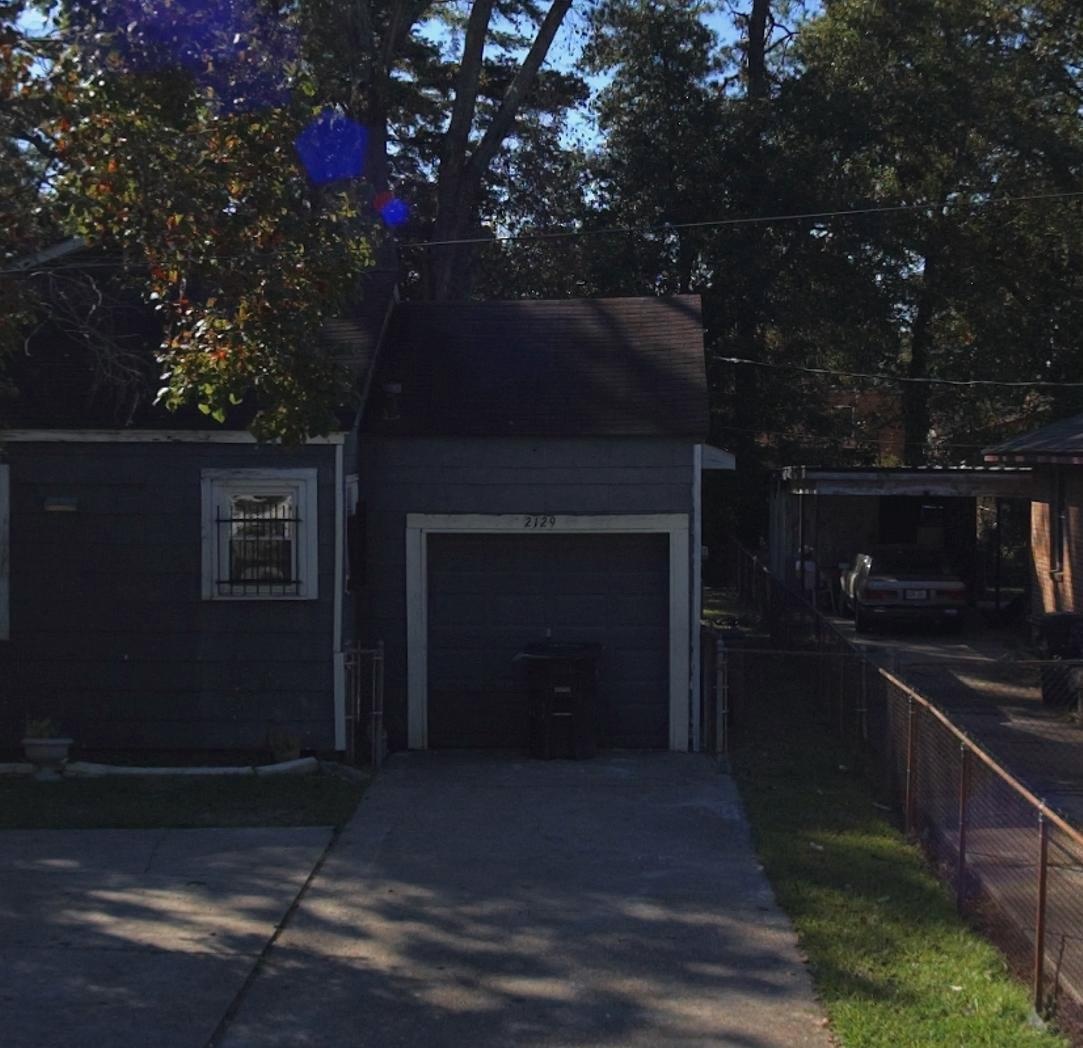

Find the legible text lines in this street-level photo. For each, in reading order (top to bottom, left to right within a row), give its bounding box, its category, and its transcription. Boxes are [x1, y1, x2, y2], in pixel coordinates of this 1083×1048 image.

[523, 516, 557, 529] StreetNumber: 2129